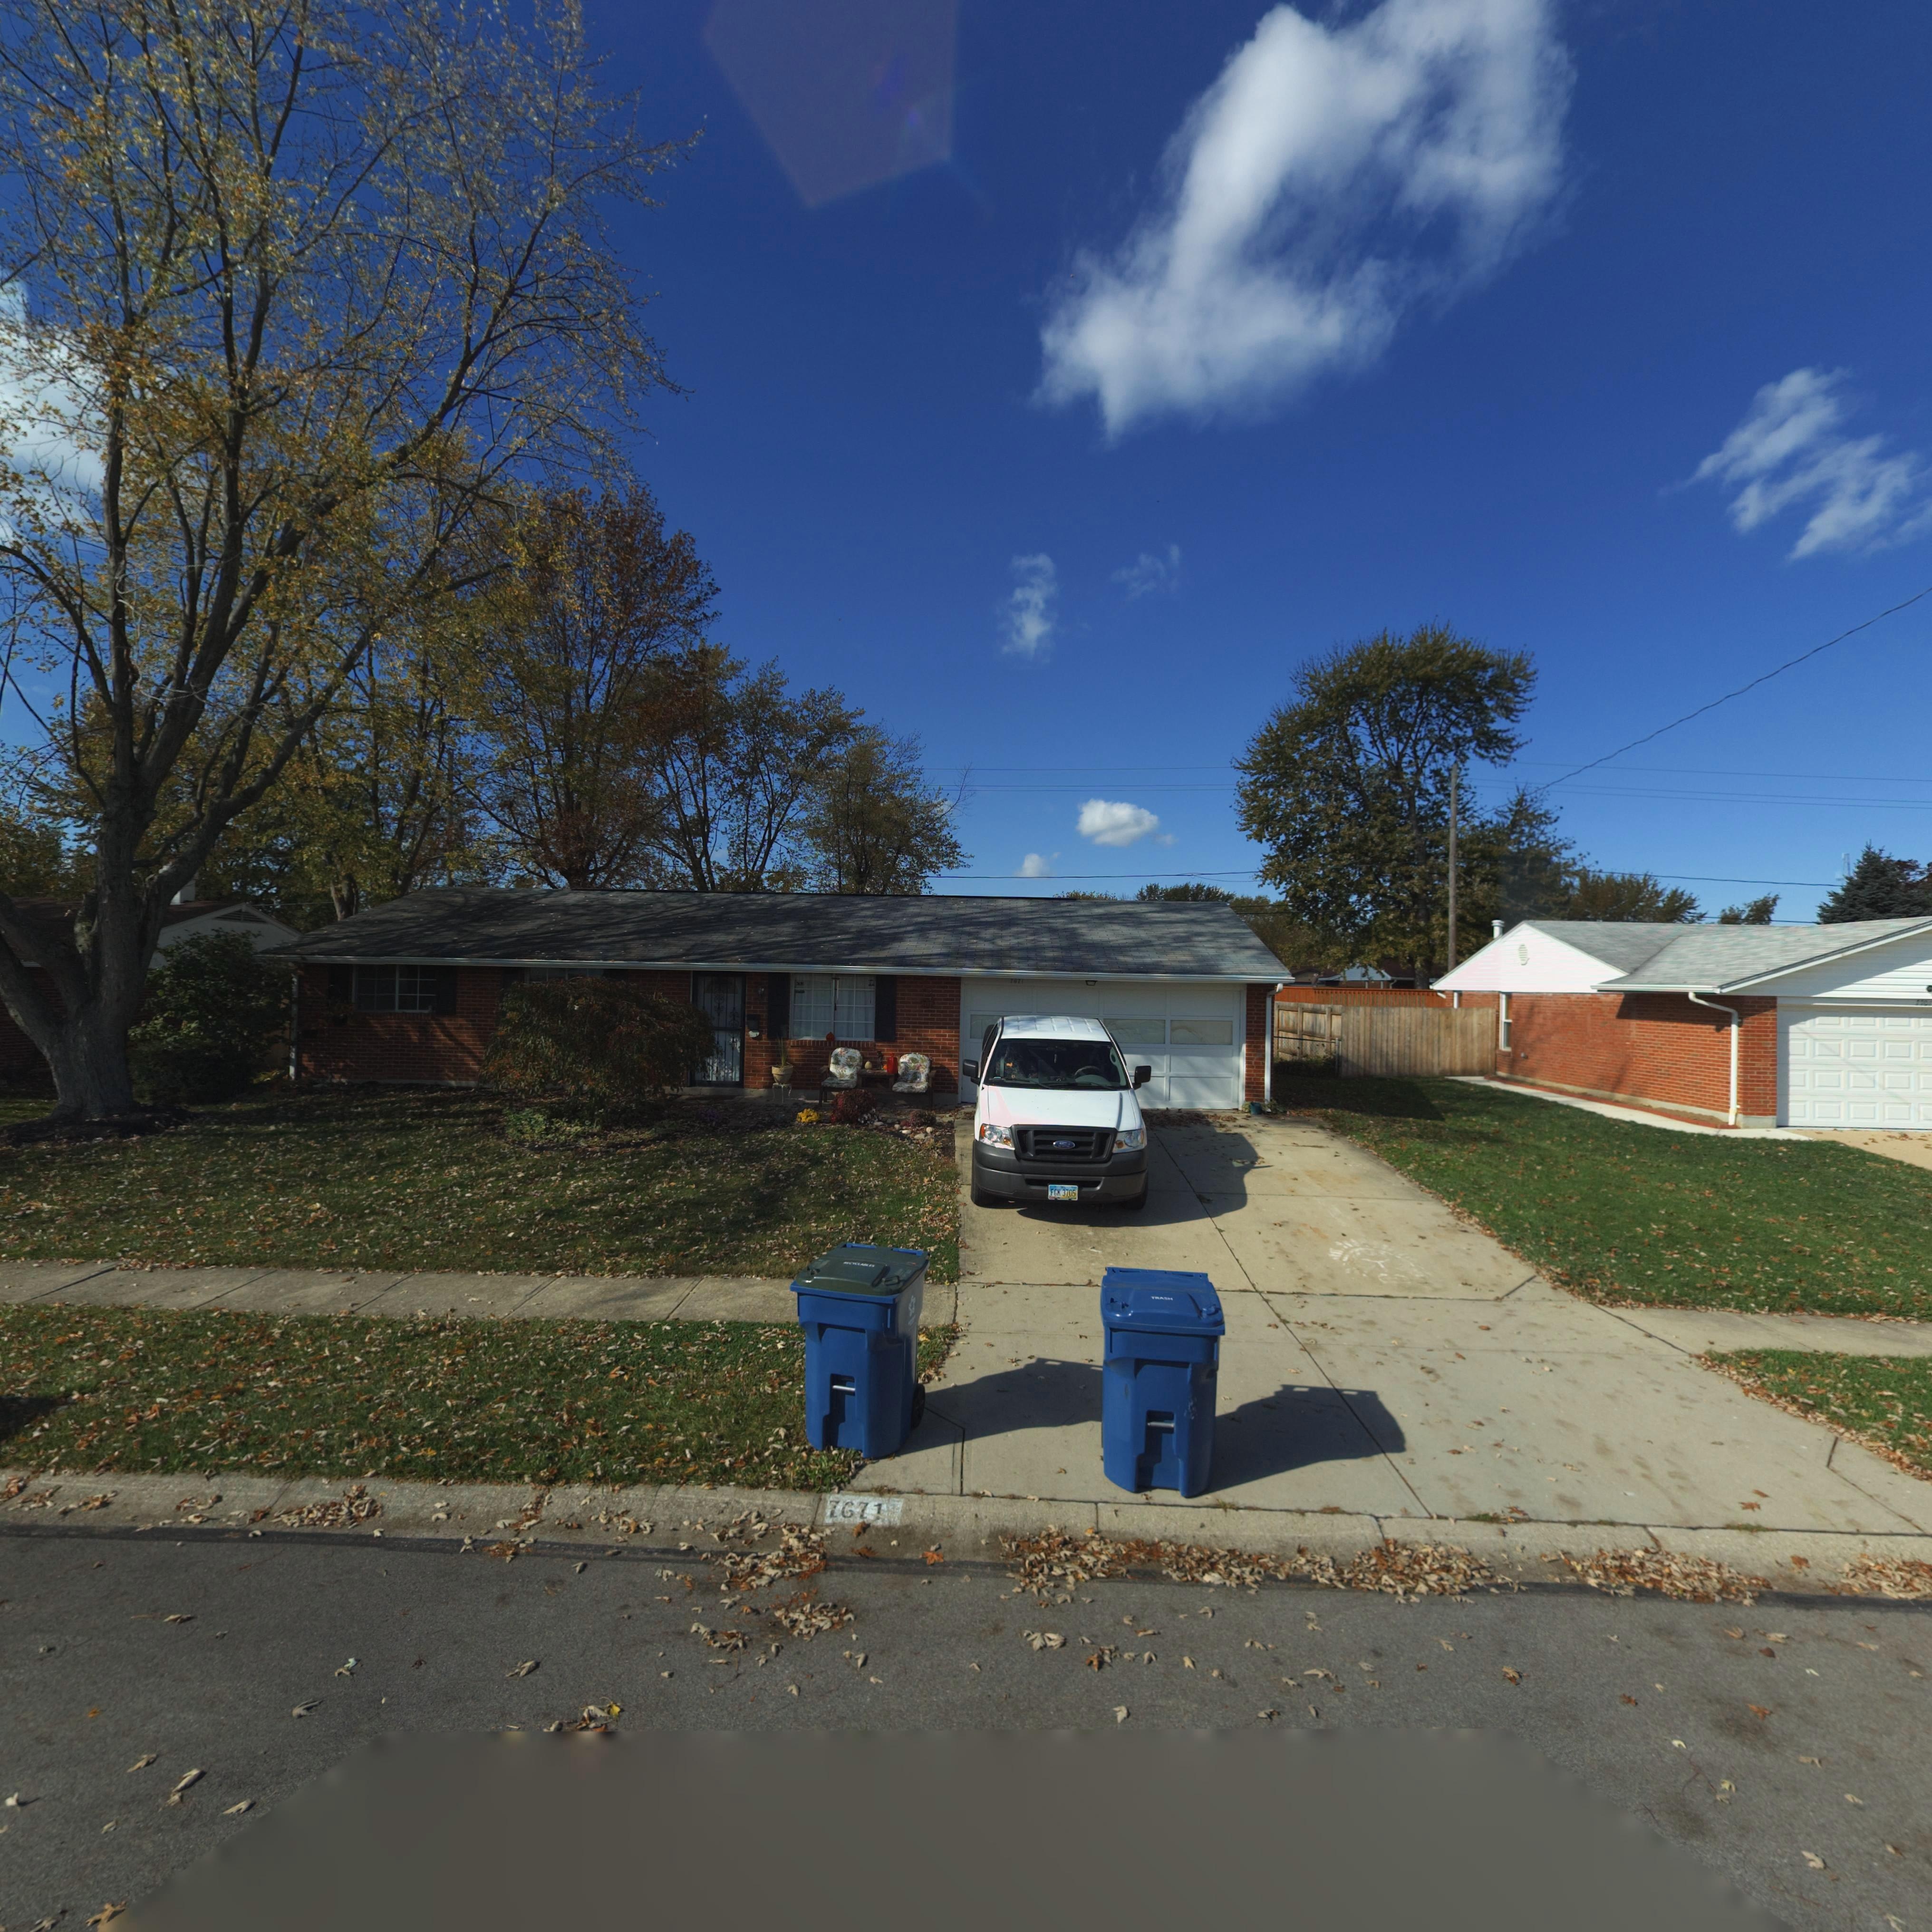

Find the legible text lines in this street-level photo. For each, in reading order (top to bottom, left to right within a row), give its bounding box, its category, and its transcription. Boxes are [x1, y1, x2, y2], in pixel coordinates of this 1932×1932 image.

[1009, 978, 1024, 985] StreetNumber: 7671
[828, 1498, 884, 1522] StreetNumber: 7671